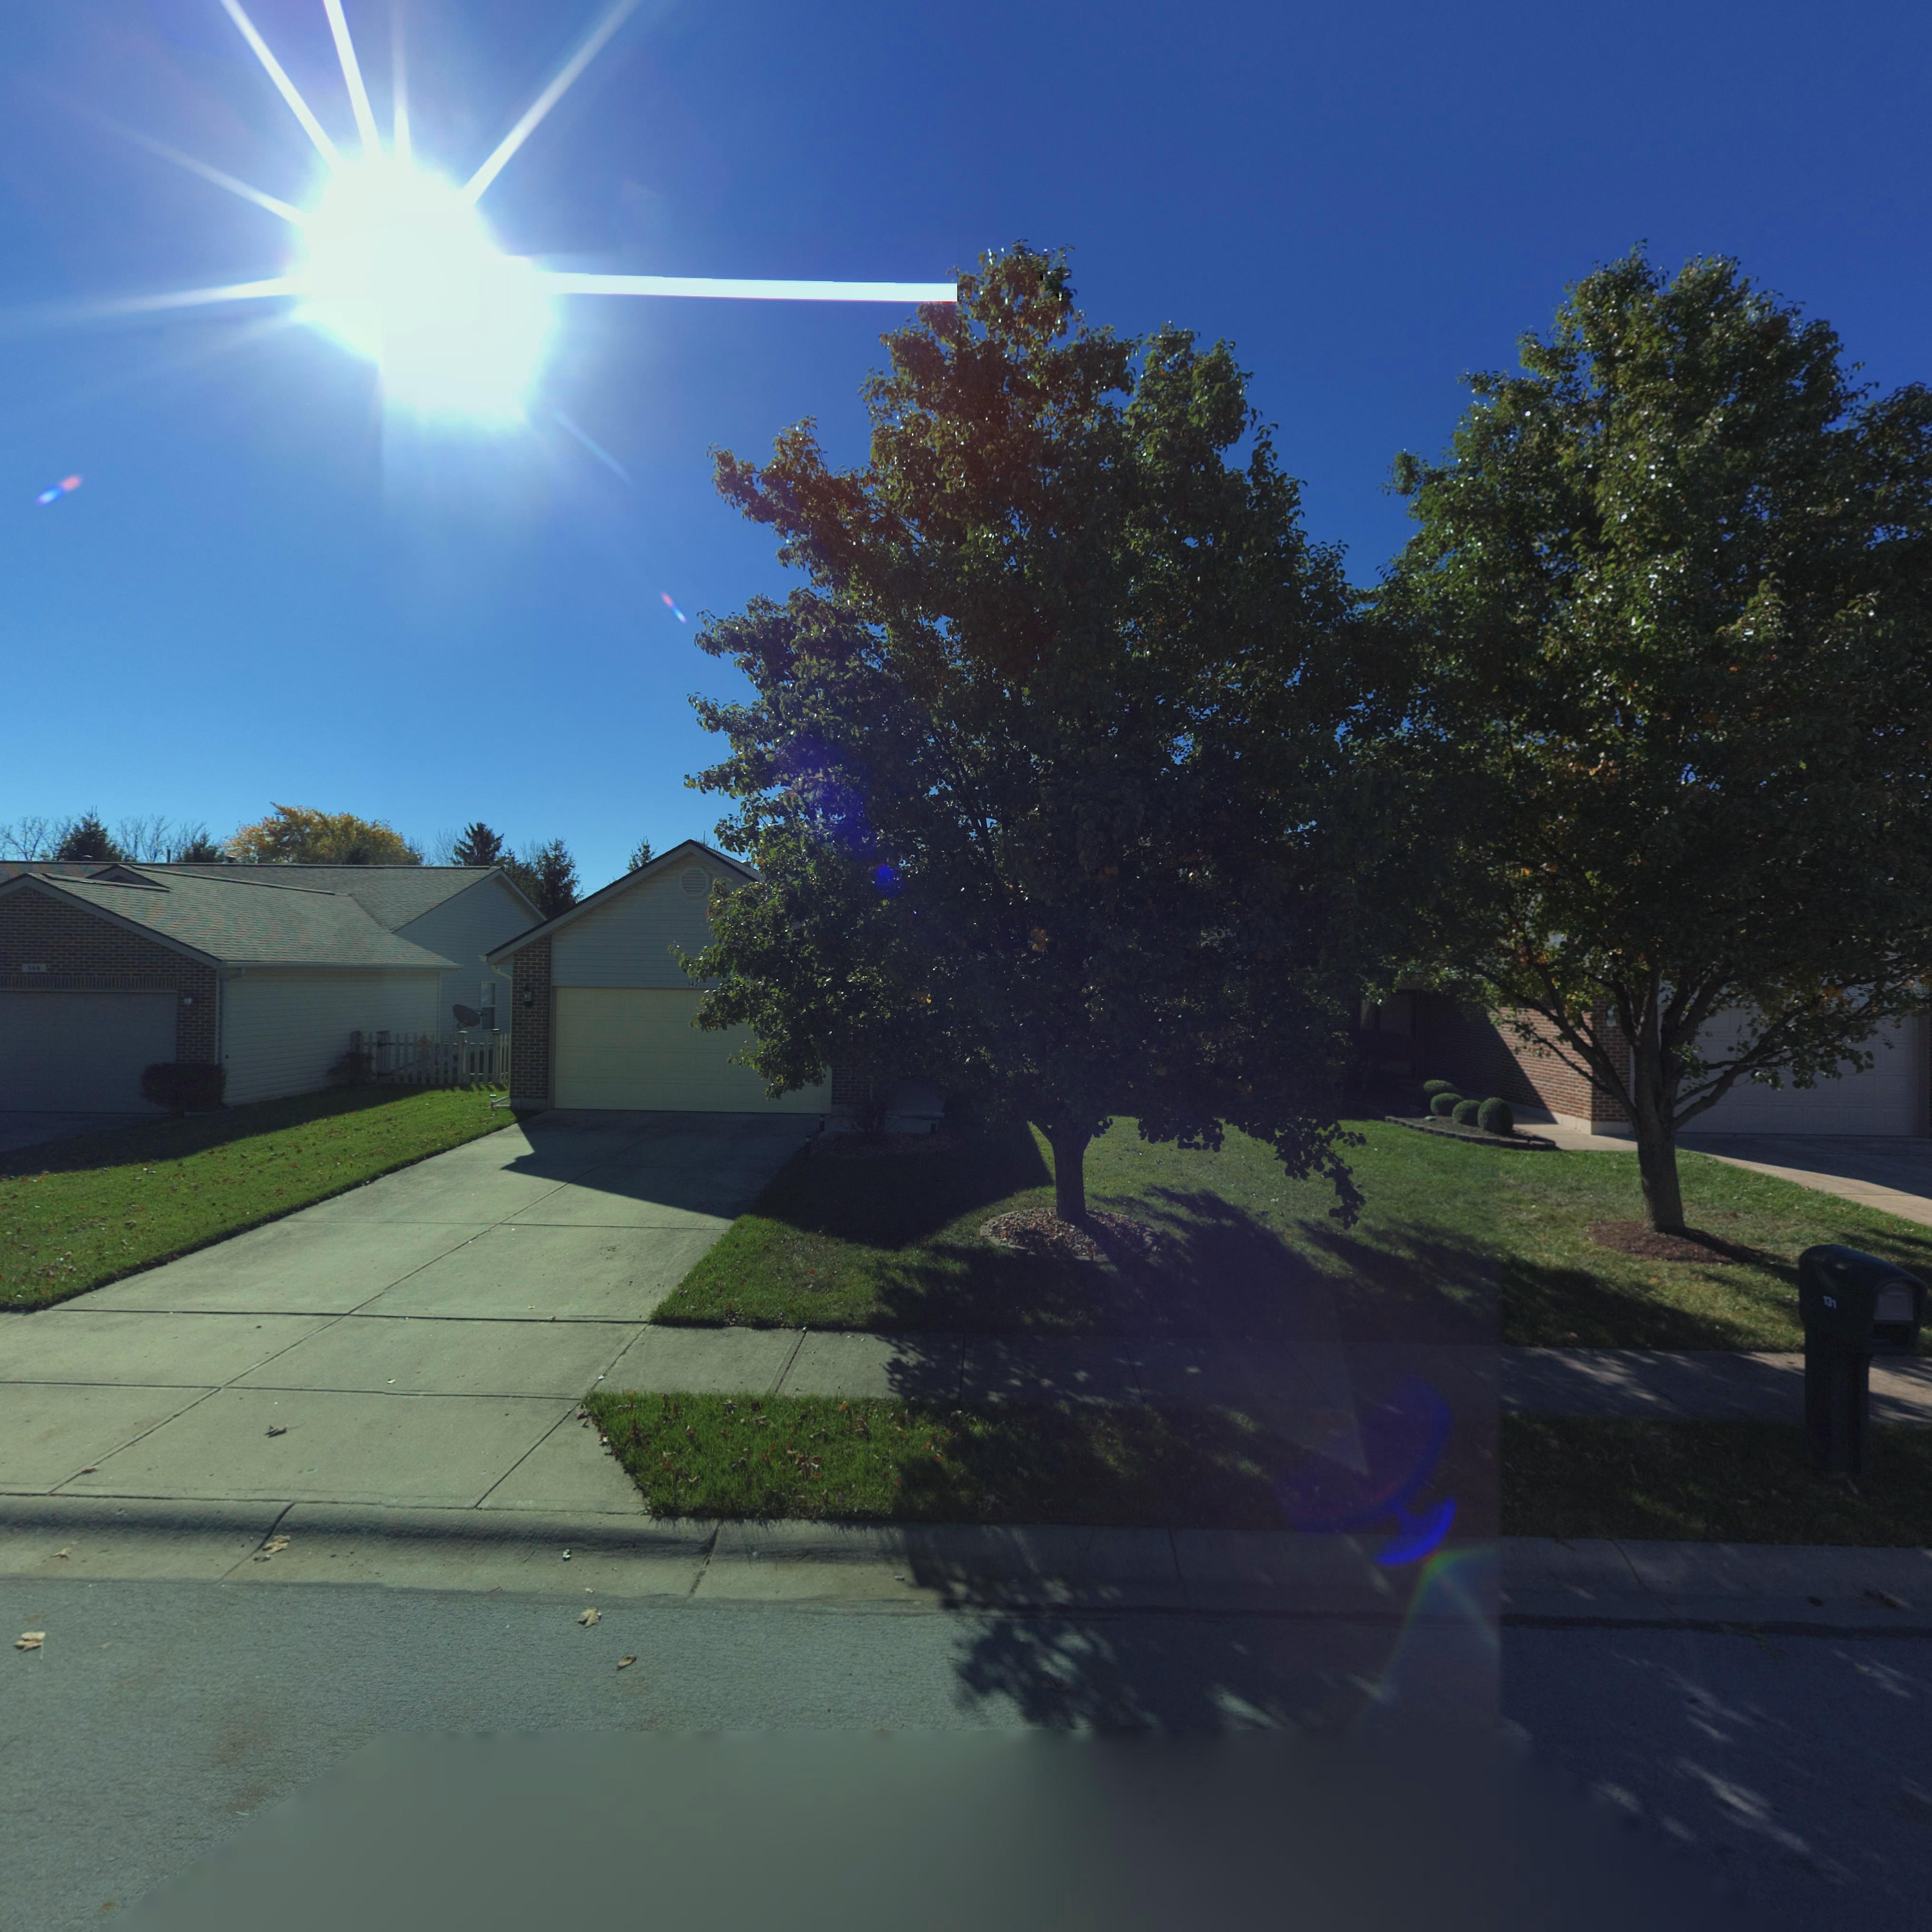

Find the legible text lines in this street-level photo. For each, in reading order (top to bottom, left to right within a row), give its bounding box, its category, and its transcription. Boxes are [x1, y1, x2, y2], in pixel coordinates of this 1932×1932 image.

[1822, 1294, 1837, 1310] StreetNumber: 13*